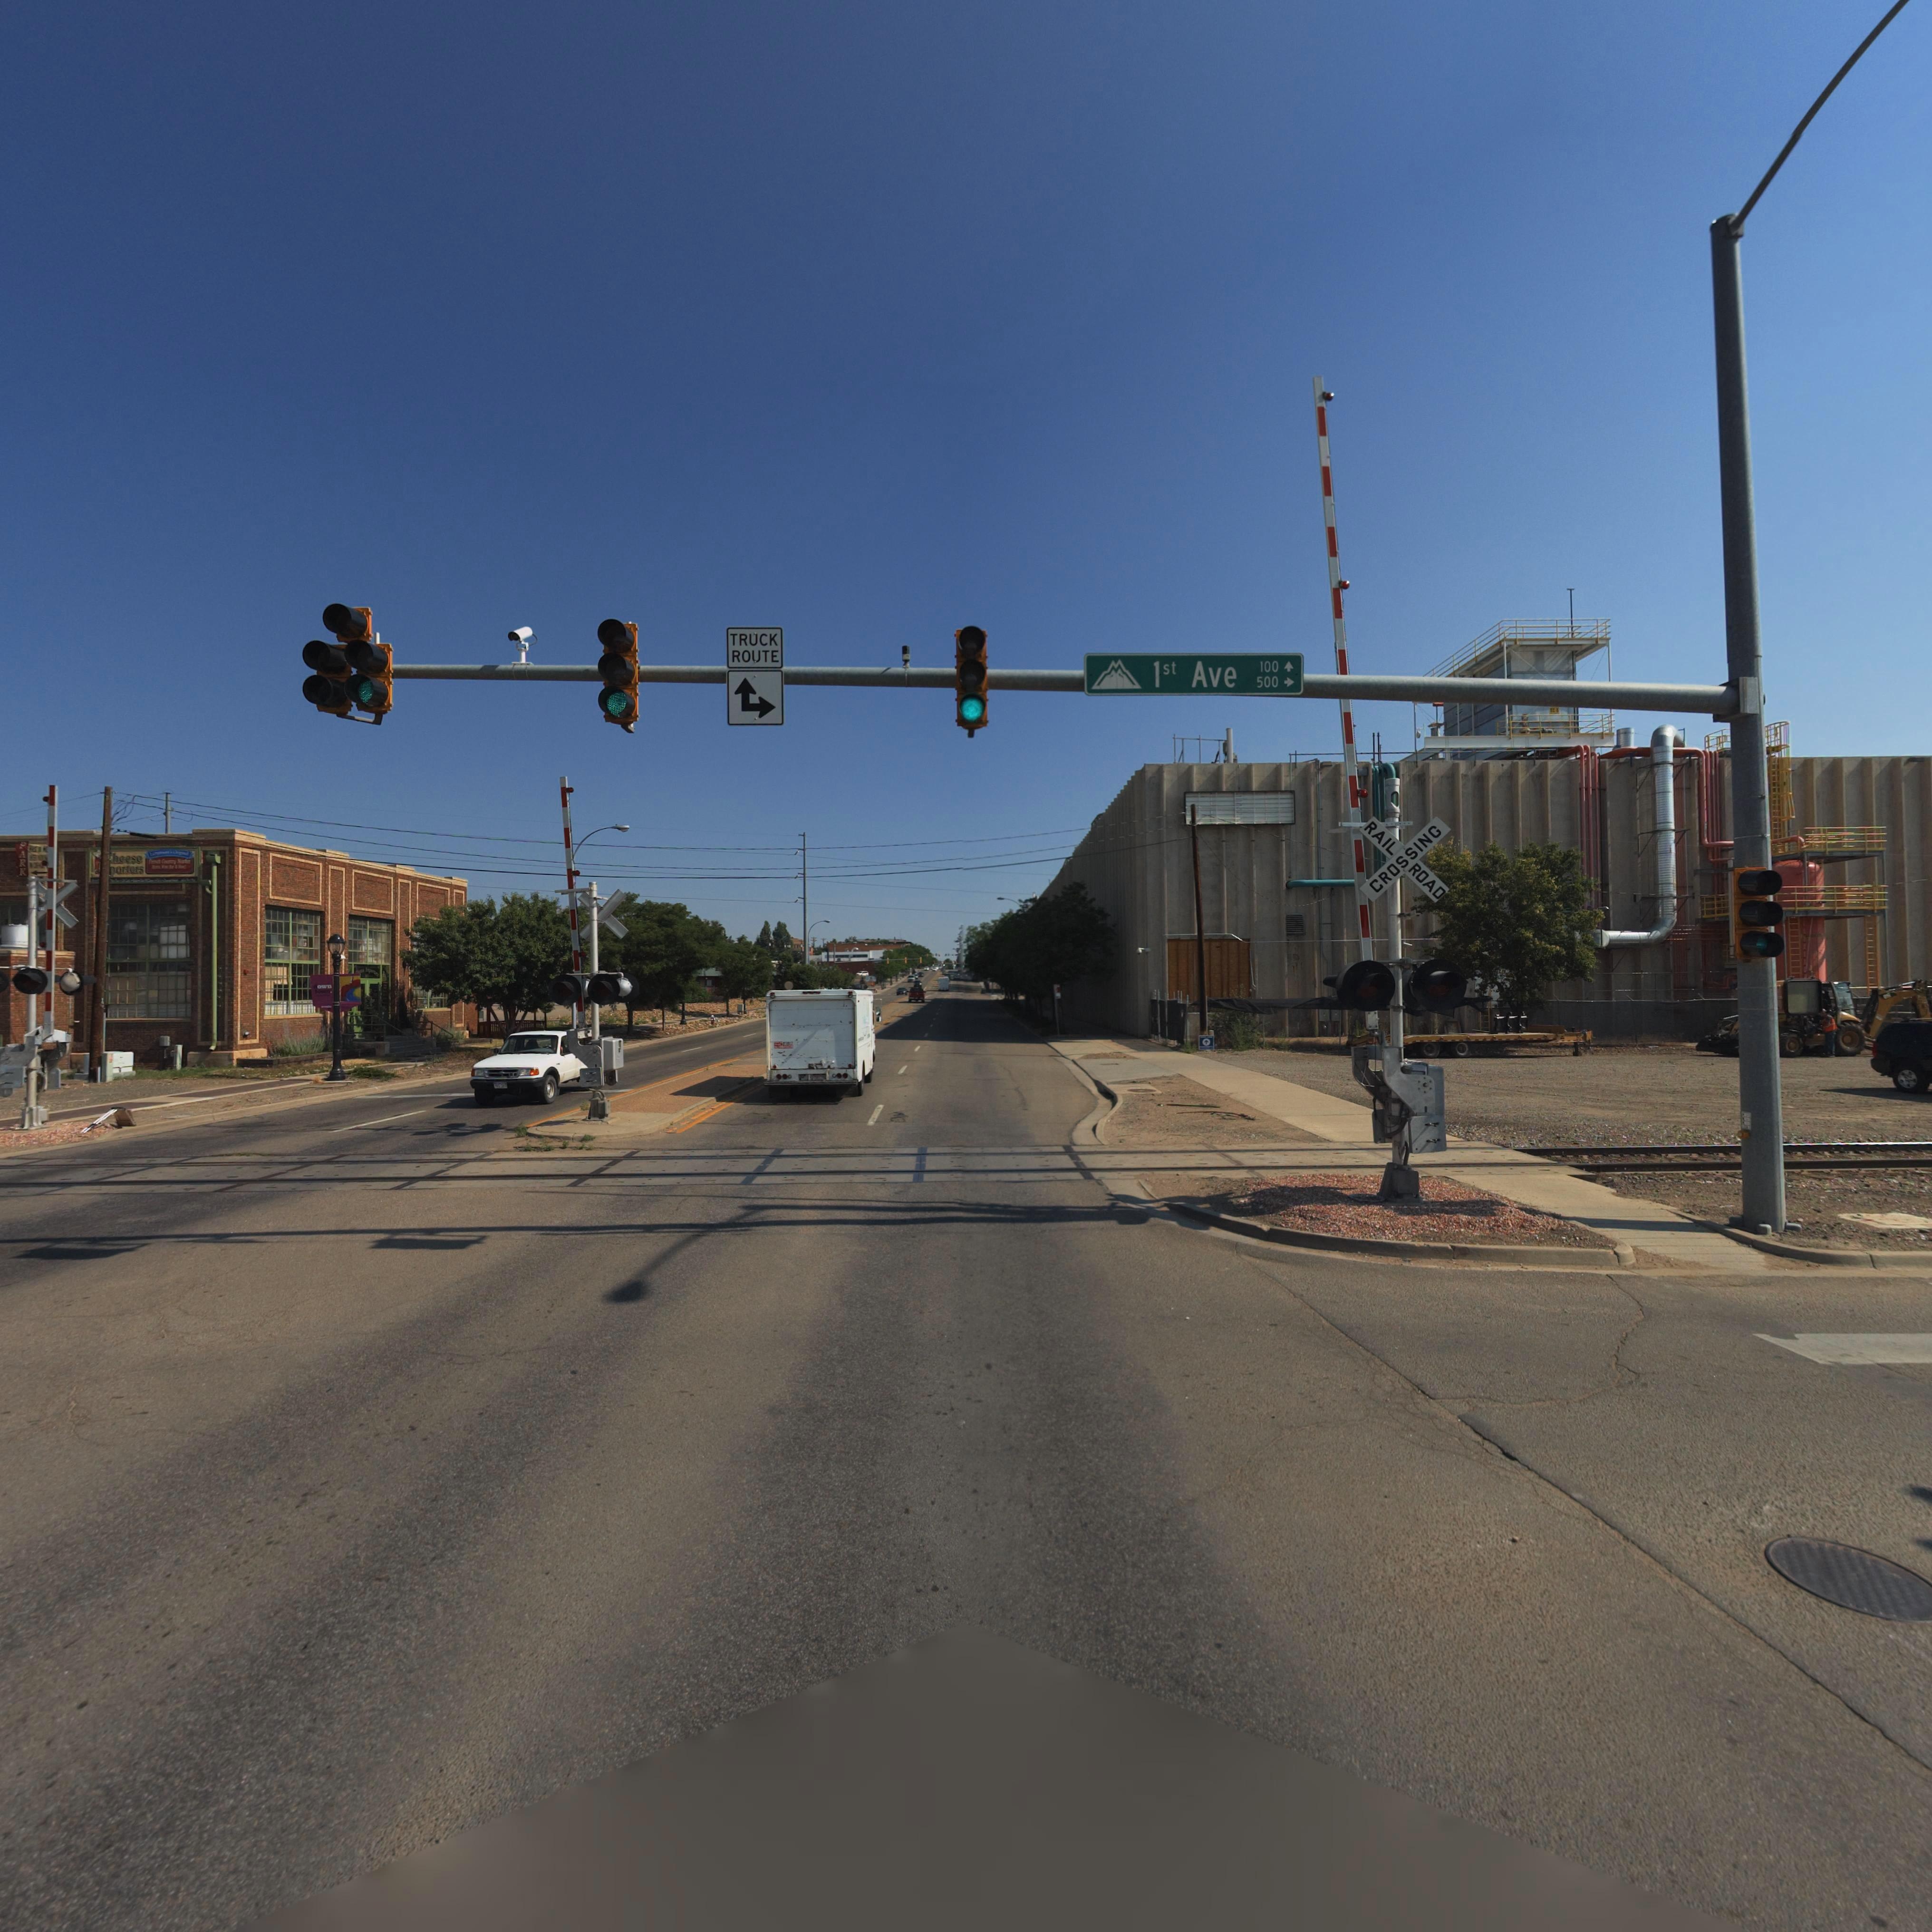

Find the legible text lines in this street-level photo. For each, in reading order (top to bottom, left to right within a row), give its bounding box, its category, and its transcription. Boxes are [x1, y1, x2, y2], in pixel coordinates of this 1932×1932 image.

[1259, 660, 1279, 673] StreetNumberRange: 100
[1152, 659, 1237, 688] StreetName: 1st Ave
[1256, 676, 1295, 688] StreetNumberRange: 500 ->
[112, 852, 143, 864] BusinessName: heese
[115, 865, 144, 874] BusinessName: orters